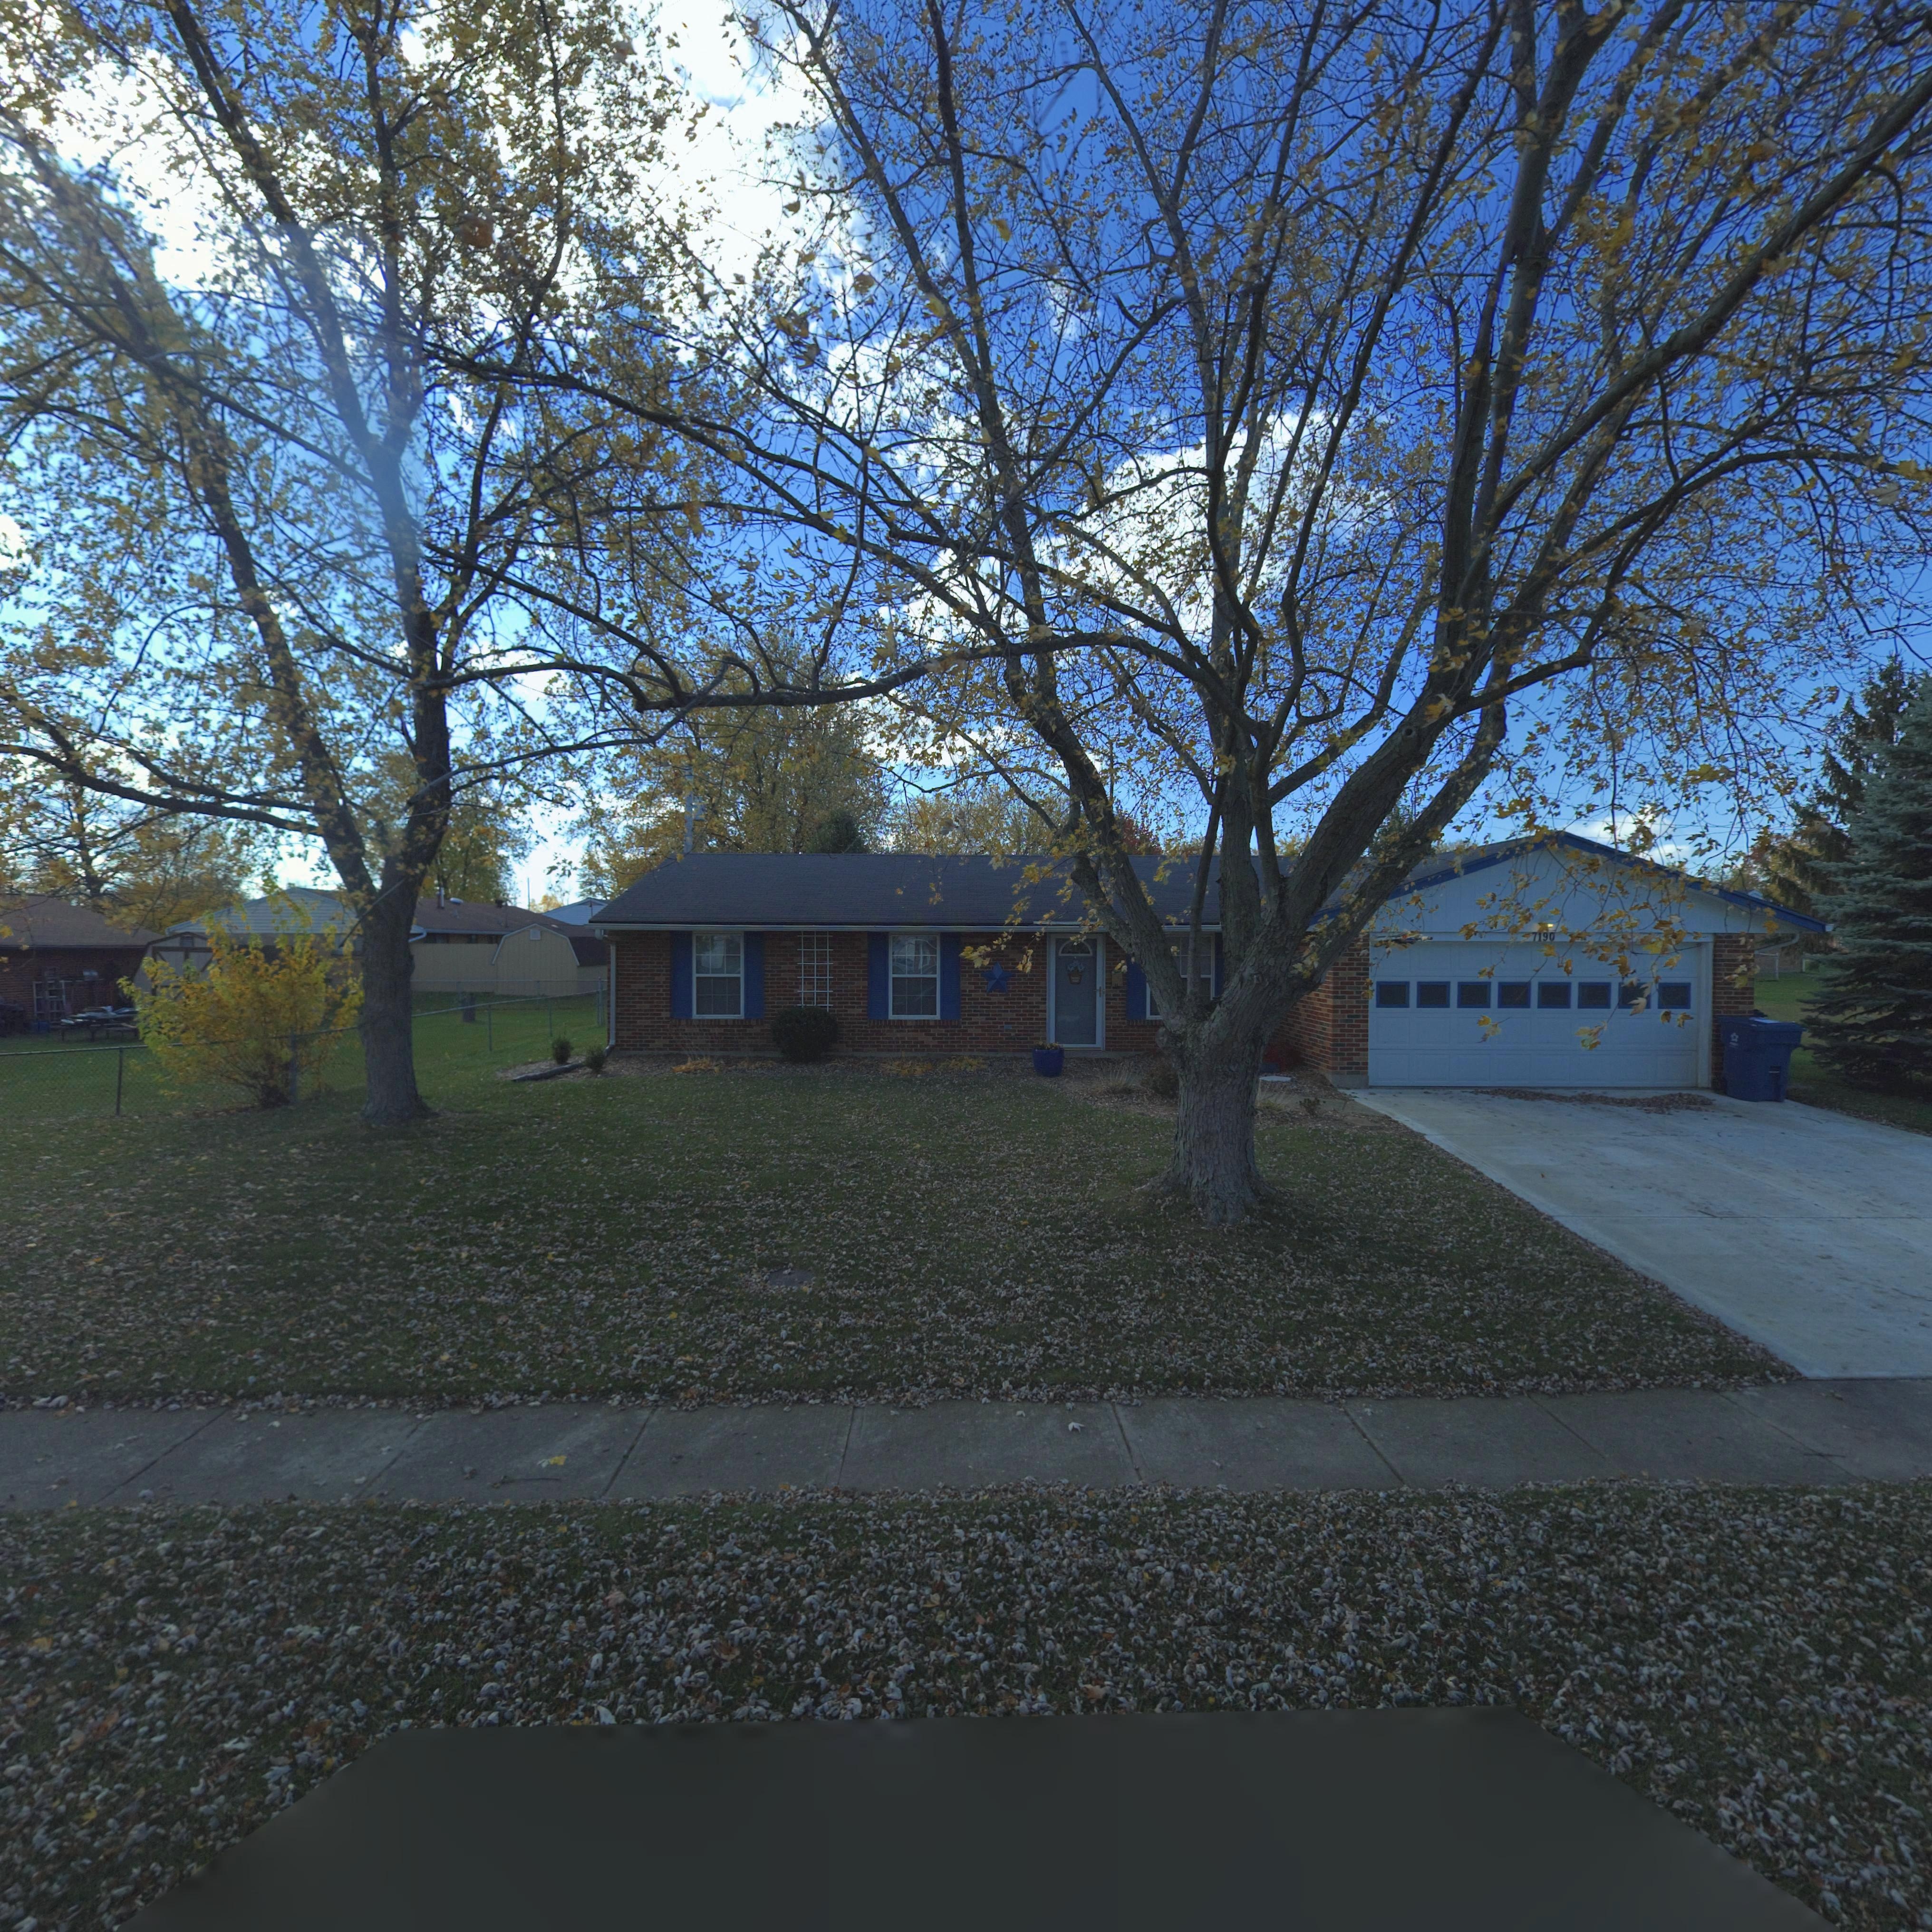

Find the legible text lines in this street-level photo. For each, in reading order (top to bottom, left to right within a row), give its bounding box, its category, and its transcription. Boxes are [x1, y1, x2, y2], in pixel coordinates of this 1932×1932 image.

[1531, 931, 1556, 943] StreetNumber: 7190